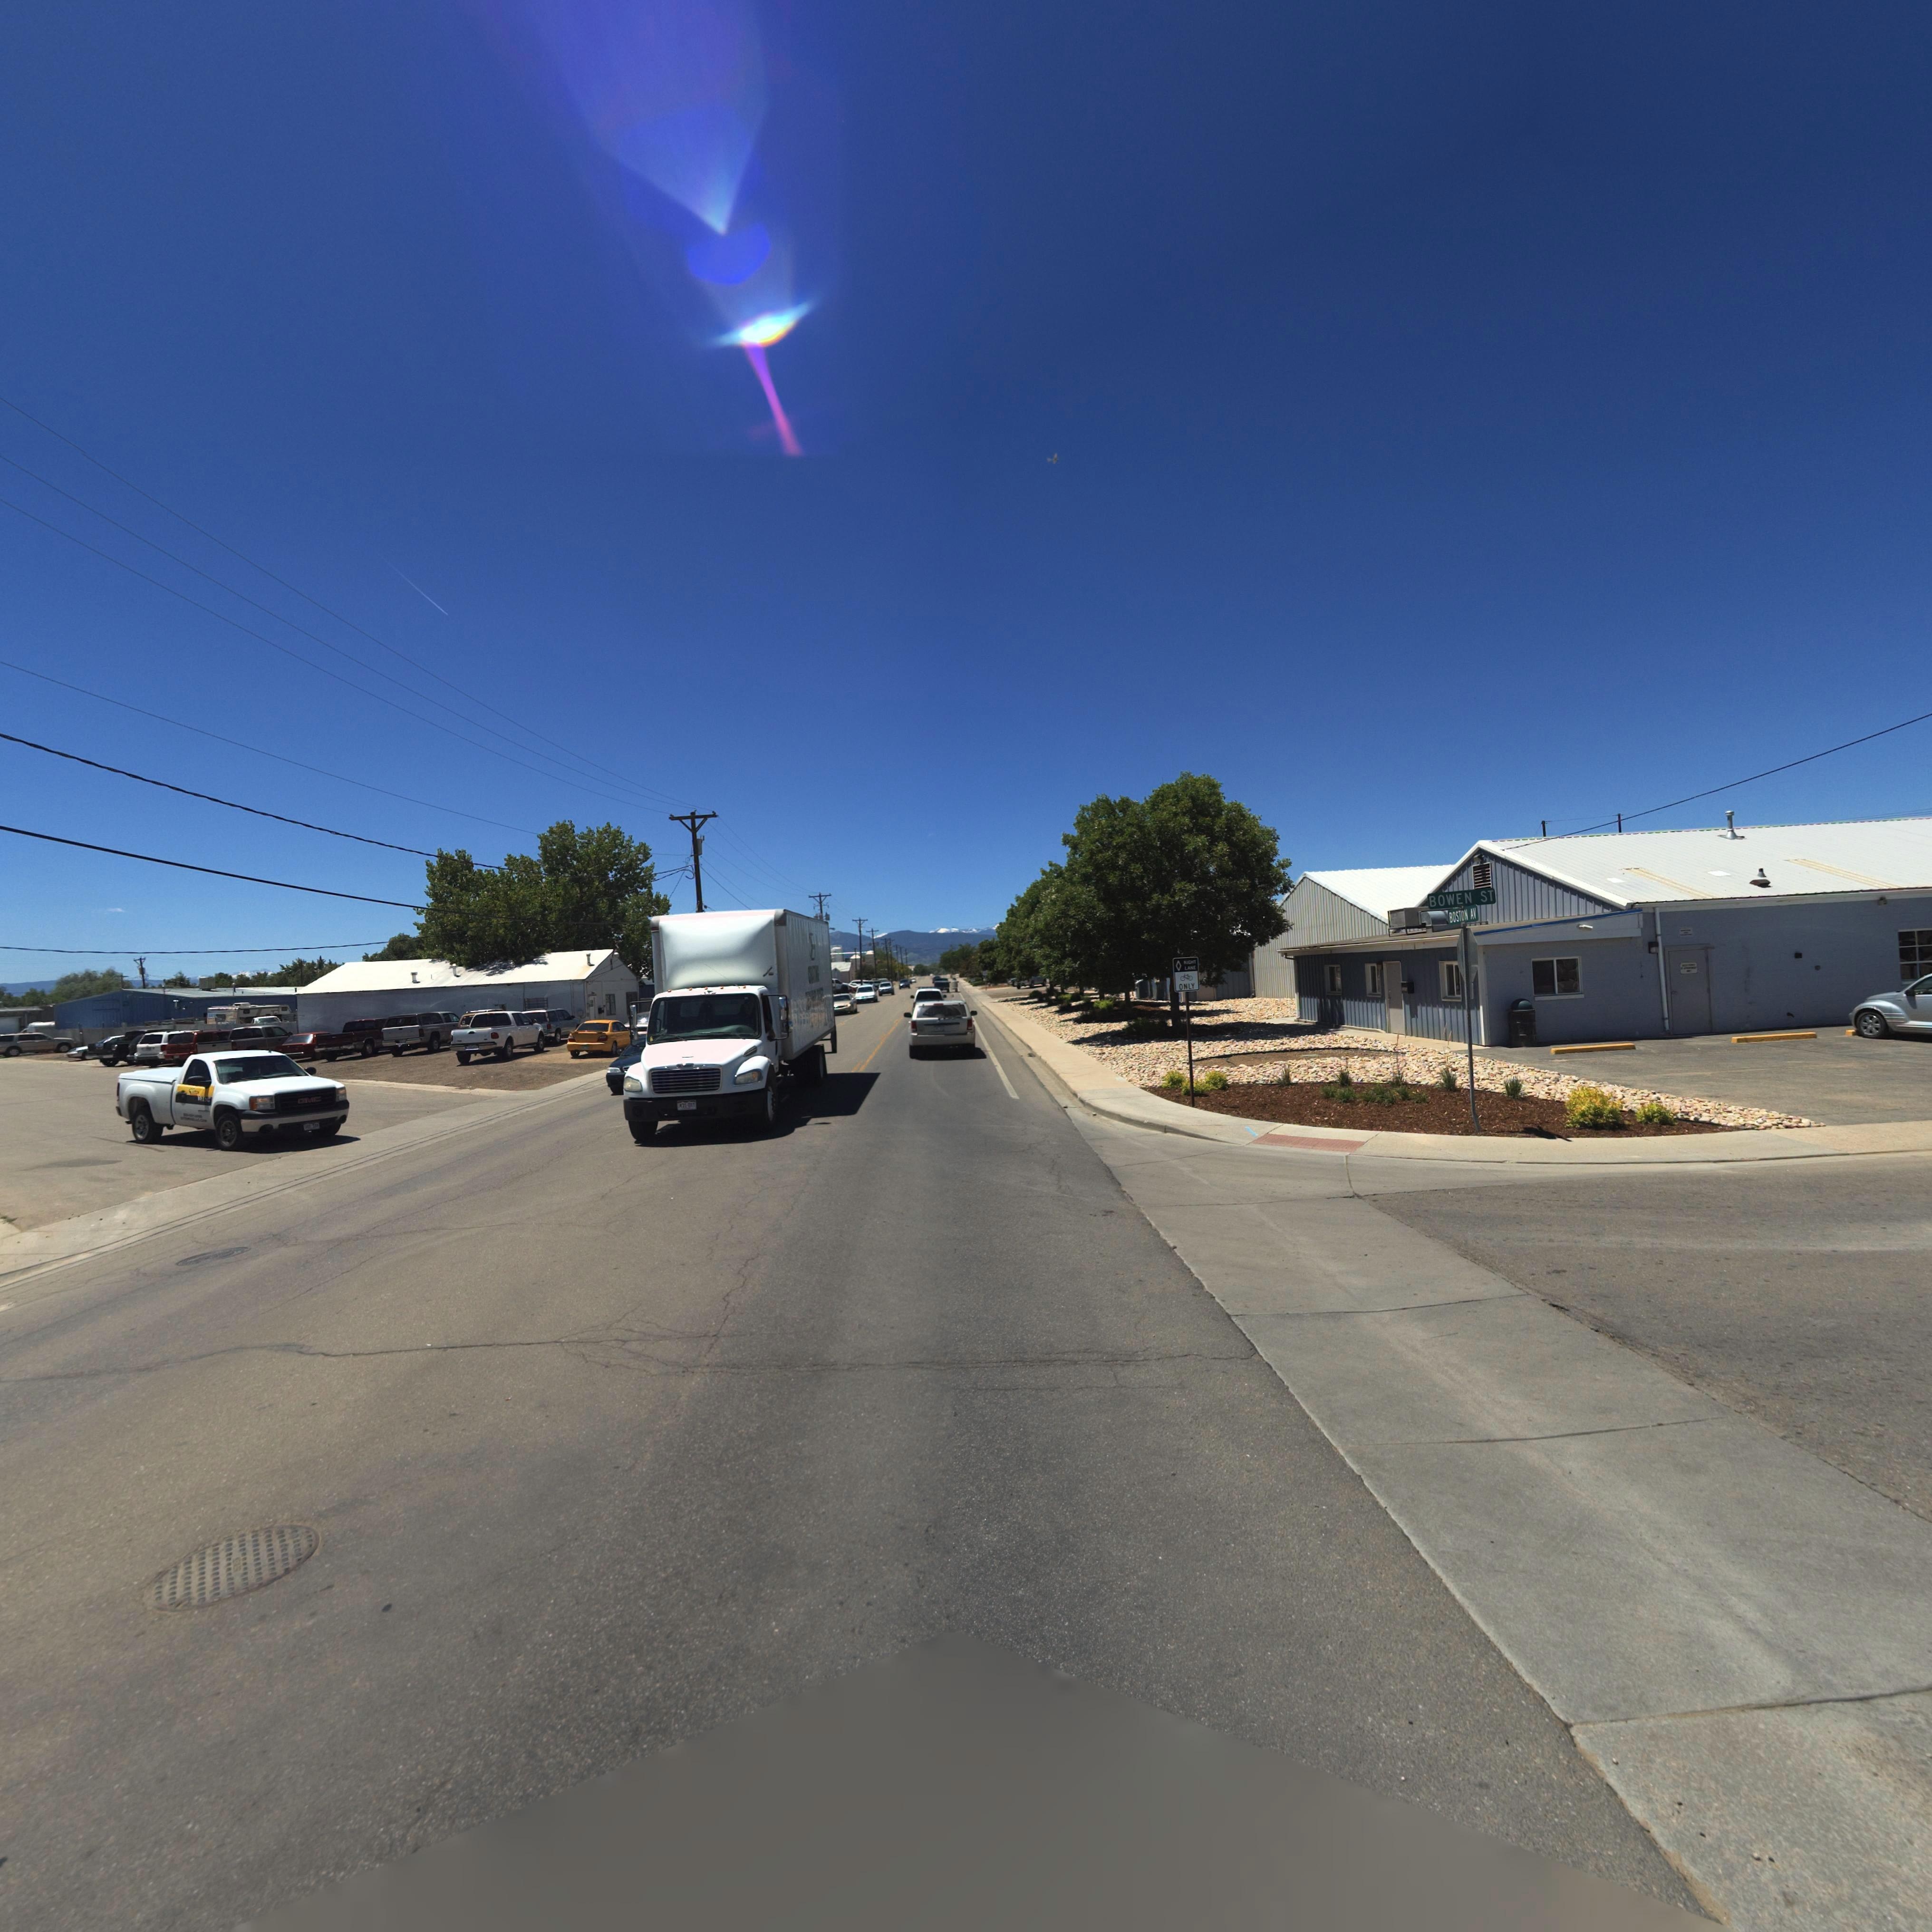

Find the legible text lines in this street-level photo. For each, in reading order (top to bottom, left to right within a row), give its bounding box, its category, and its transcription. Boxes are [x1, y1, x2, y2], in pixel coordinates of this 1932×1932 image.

[1429, 889, 1494, 907] StreetName: BOWEN ST
[1449, 907, 1476, 923] StreetName: BOSTON AV